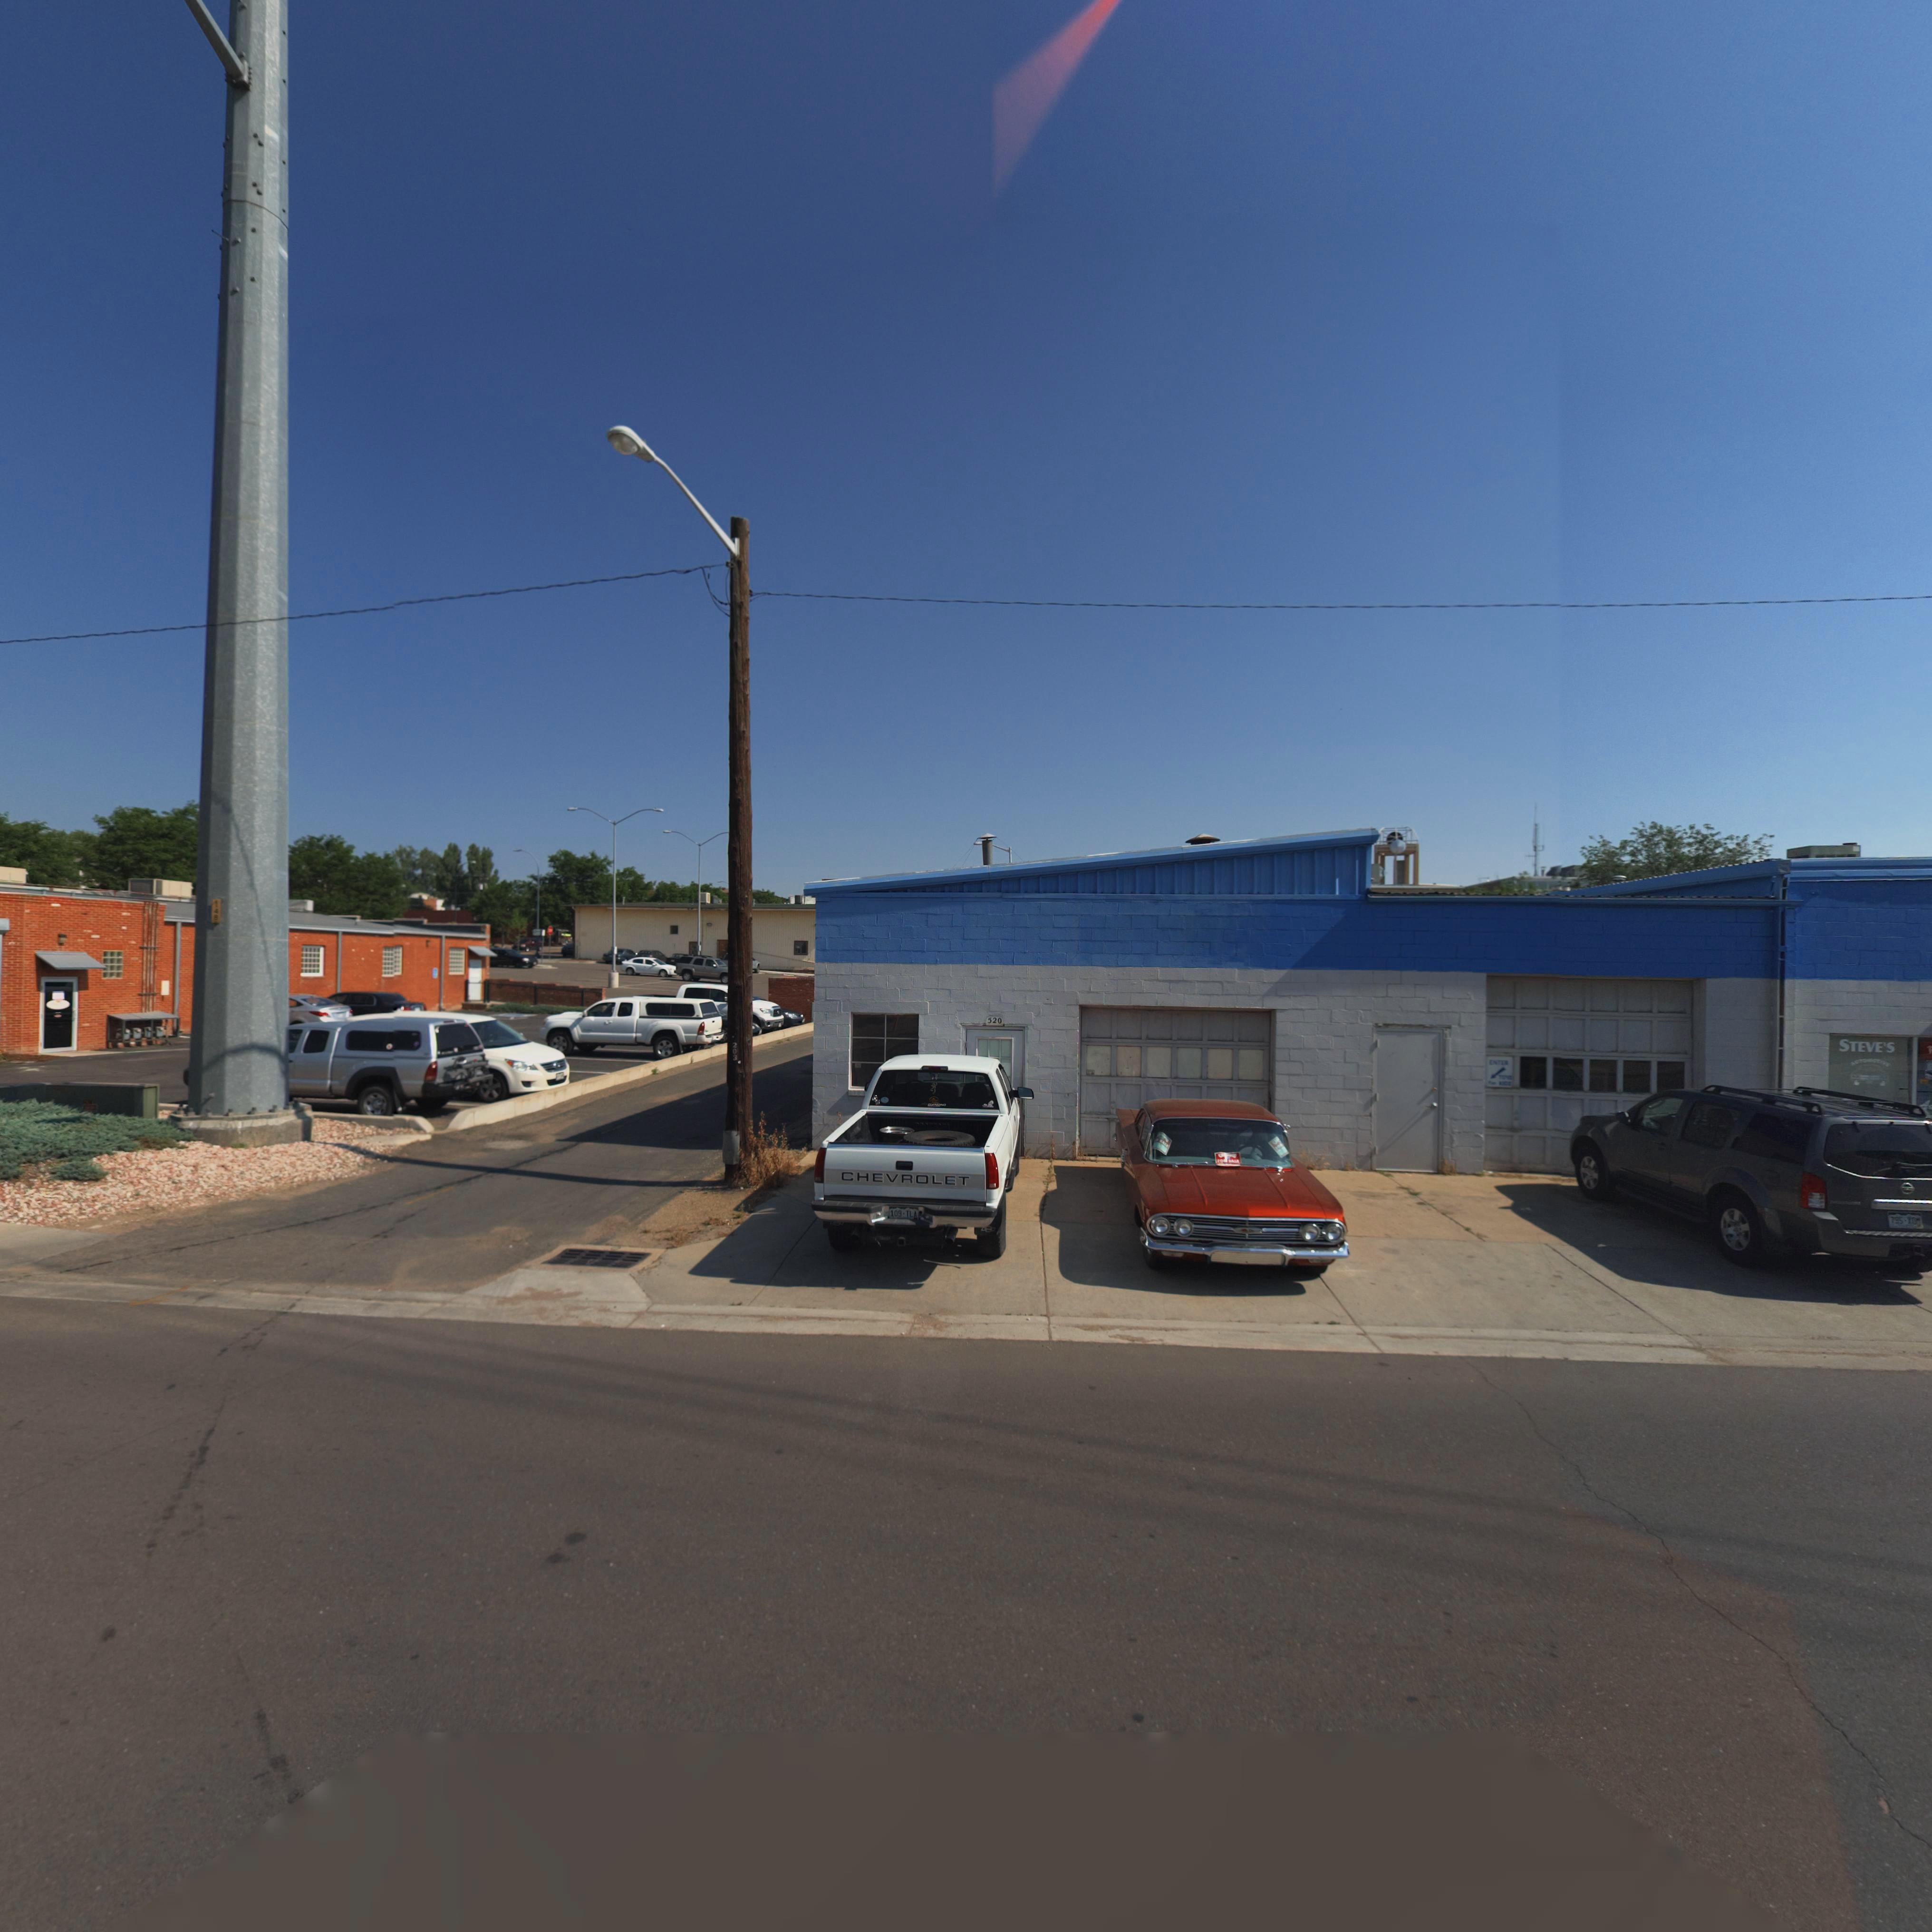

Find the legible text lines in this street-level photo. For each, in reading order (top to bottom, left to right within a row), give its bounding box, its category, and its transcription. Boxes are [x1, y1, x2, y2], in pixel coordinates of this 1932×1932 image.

[987, 1017, 1002, 1024] StreetNumber: 520
[1838, 1038, 1895, 1053] BusinessName: STEVE'S
[1850, 1057, 1890, 1067] BusinessName: AUTOMOTIVE